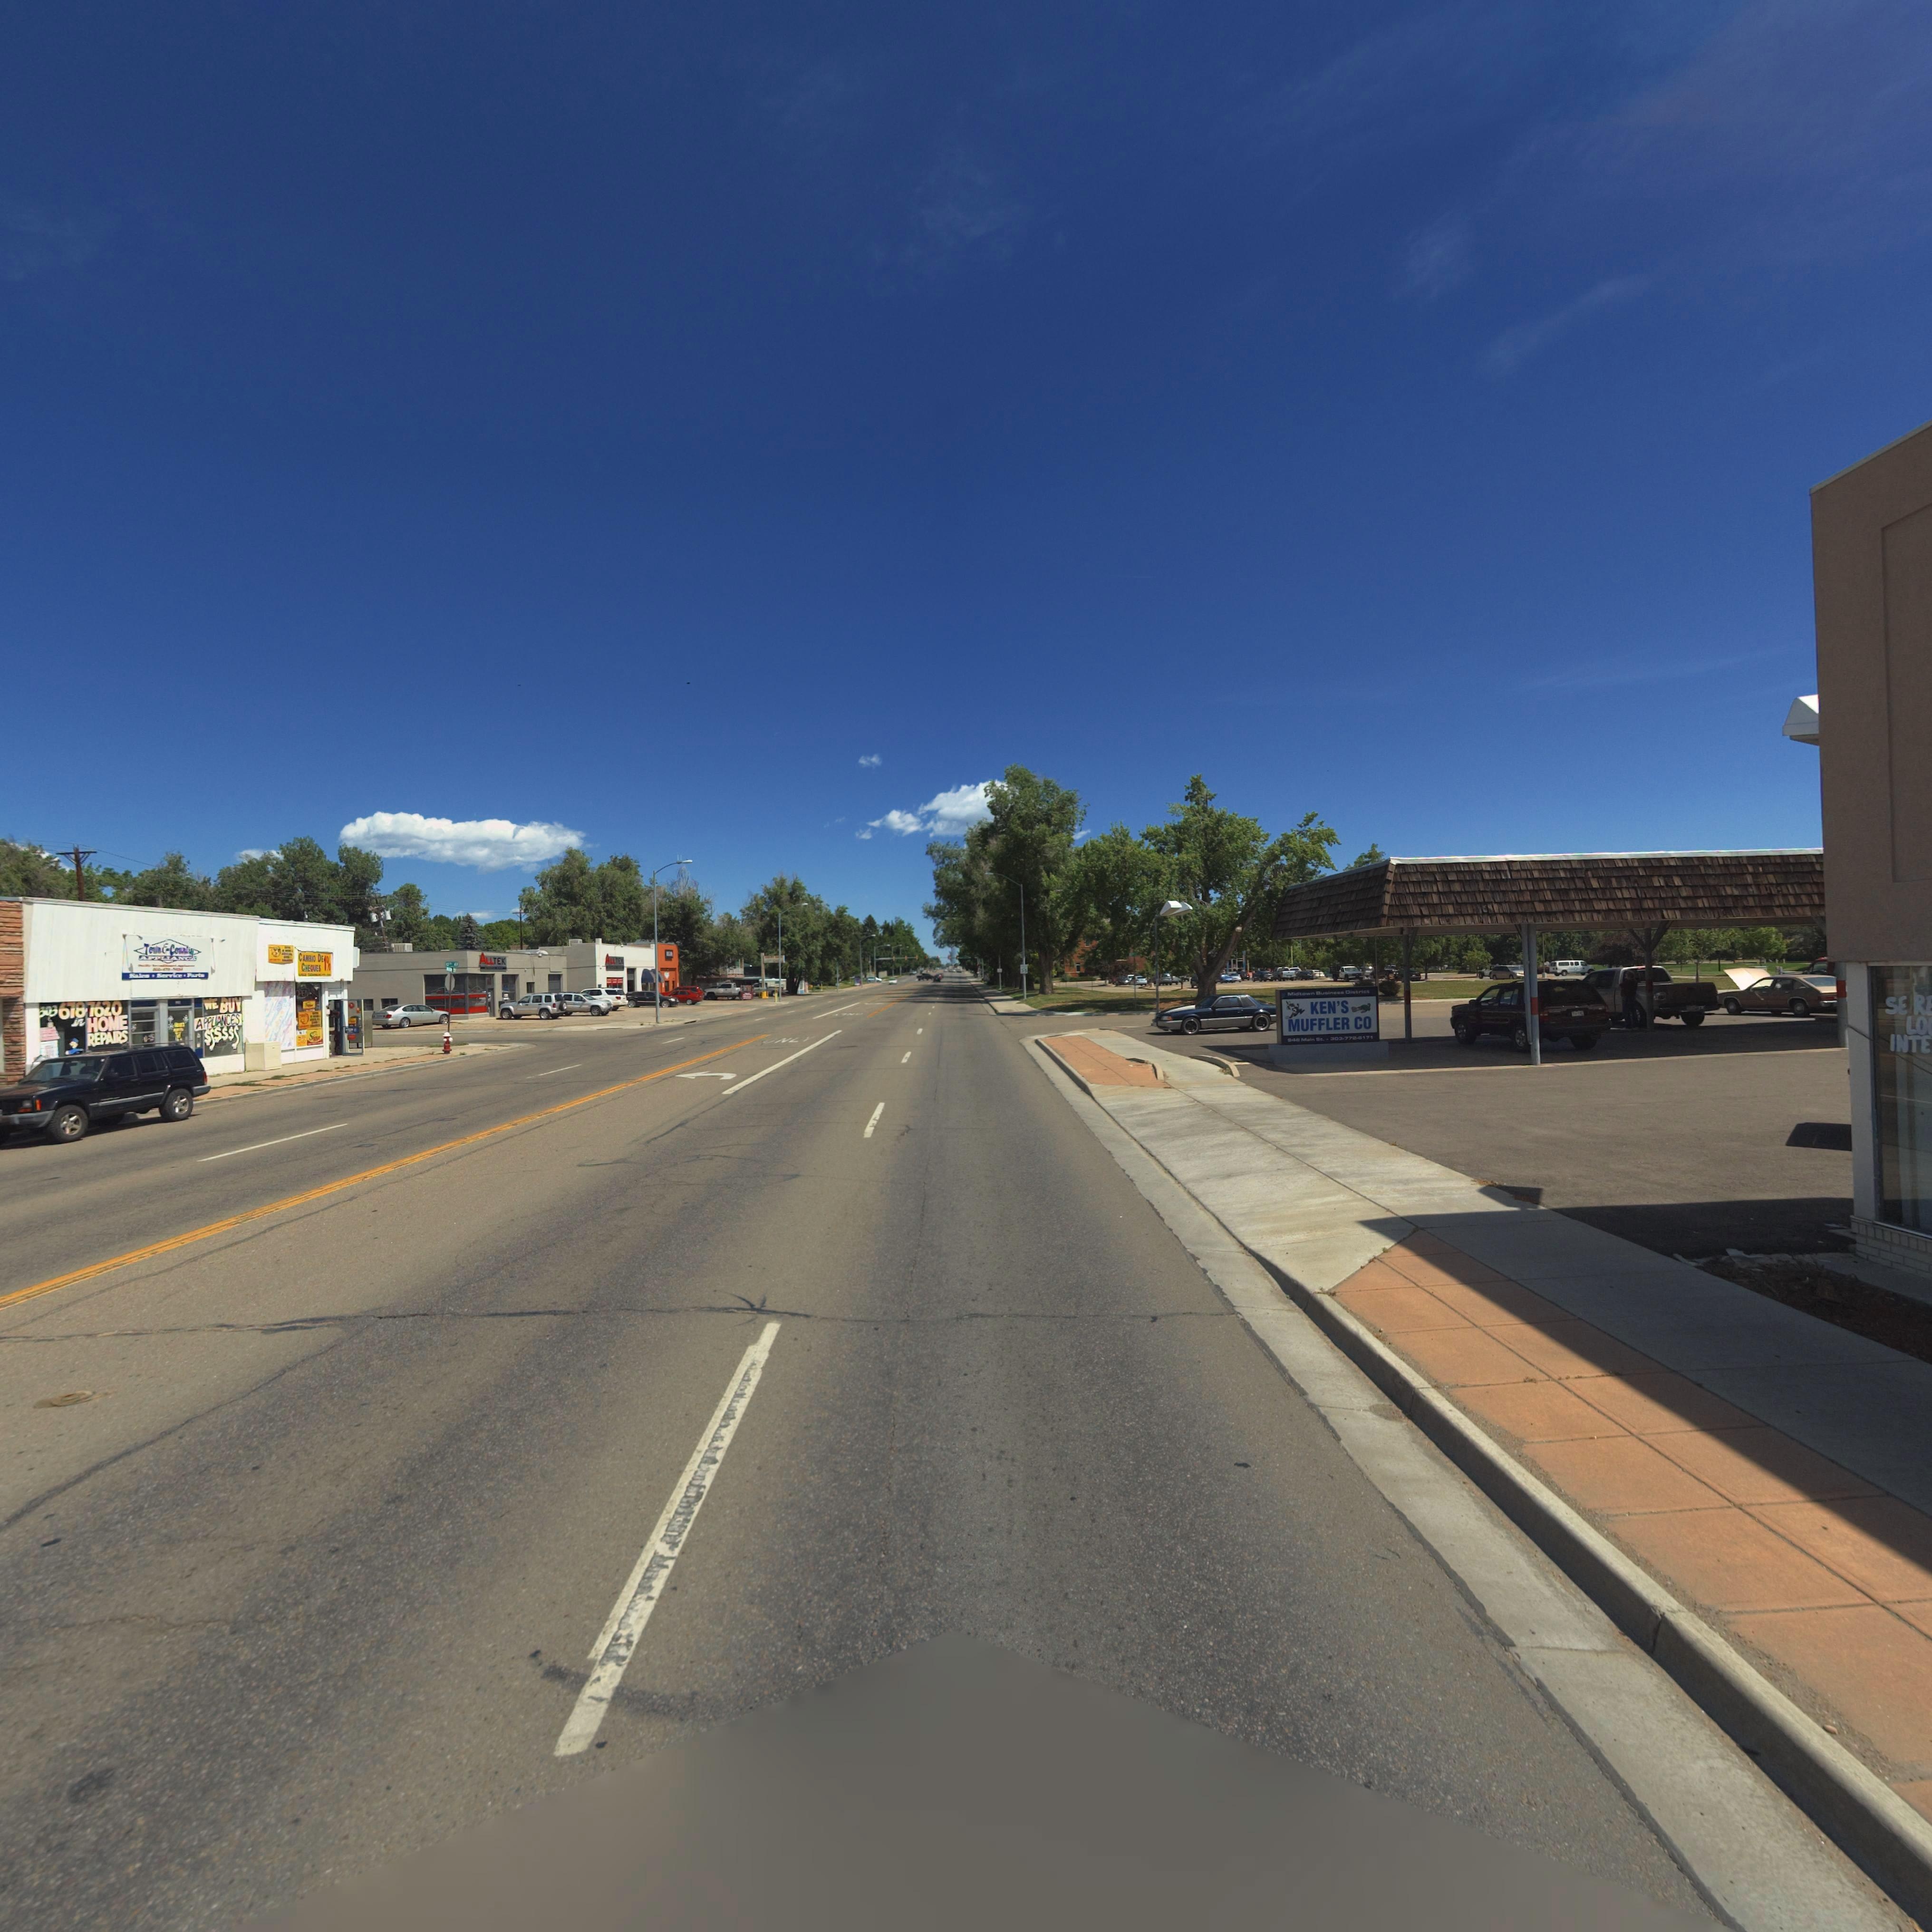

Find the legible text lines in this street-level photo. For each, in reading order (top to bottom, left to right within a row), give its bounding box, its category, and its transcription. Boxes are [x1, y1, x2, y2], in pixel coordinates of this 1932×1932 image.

[144, 942, 195, 957] BusinessName: Town & Country
[138, 955, 197, 961] BusinessName: APPLIANCE
[445, 961, 458, 966] StreetName: 10TH AV
[479, 952, 506, 965] BusinessName: ALLTEK
[605, 953, 624, 965] BusinessName: ALLTEK
[1310, 1000, 1349, 1015] BusinessName: KEN'S
[1288, 1016, 1371, 1032] BusinessName: MUFFLER CO
[1288, 1038, 1300, 1042] StreetNumber: 948
[1300, 1037, 1324, 1042] StreetName: Main St